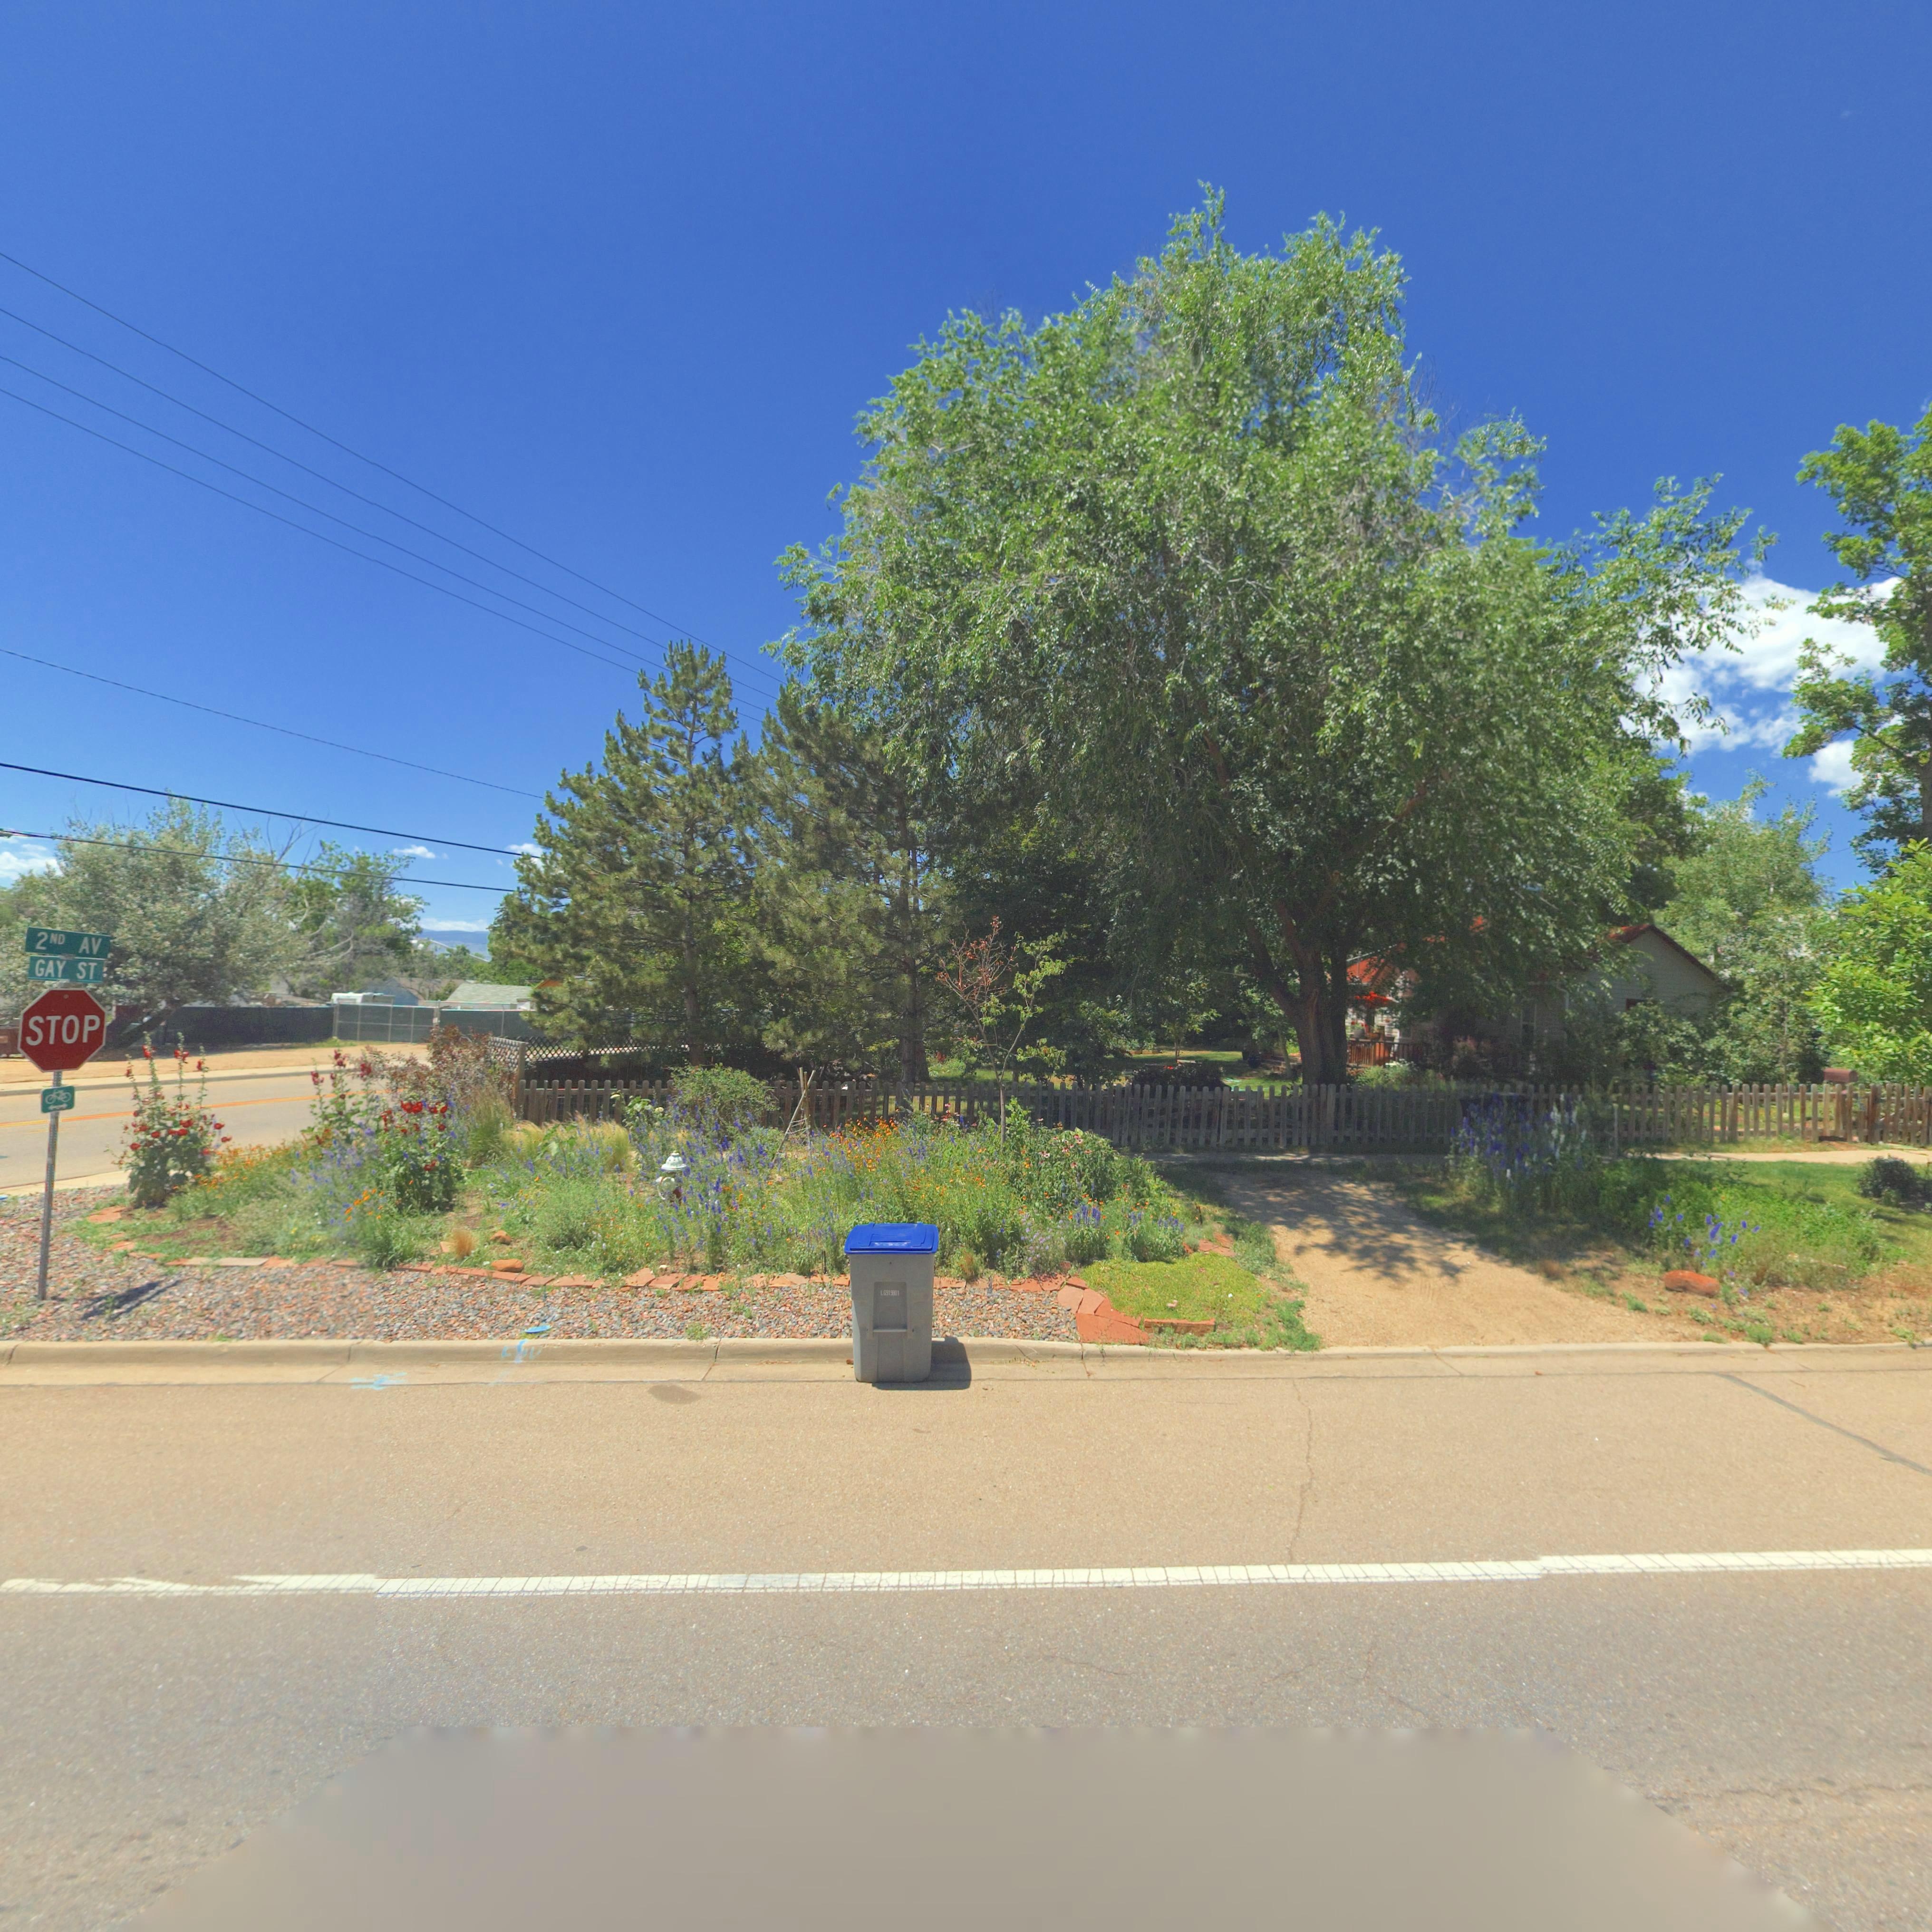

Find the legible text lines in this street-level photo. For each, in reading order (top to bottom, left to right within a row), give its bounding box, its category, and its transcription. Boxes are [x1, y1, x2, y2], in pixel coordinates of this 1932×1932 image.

[35, 930, 103, 955] StreetName: 2ND AV
[34, 958, 98, 980] StreetName: GAY ST